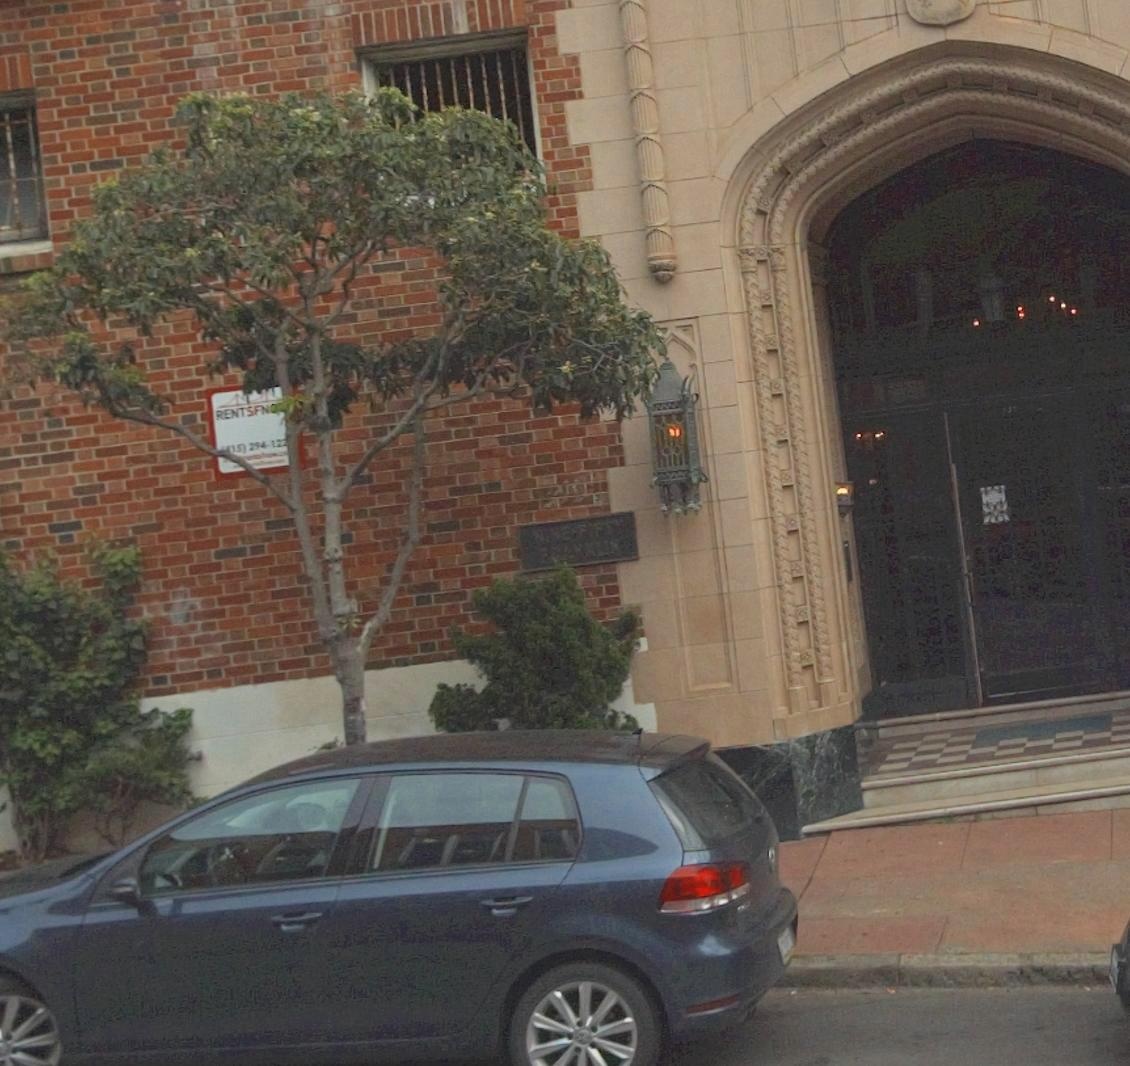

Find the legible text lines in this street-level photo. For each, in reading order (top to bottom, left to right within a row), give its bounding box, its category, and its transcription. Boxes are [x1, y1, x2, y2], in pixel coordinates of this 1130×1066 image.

[215, 403, 270, 420] None: RENTSFN
[230, 437, 284, 455] None: 15) 294-12
[531, 517, 625, 548] None: NINE FIFT*